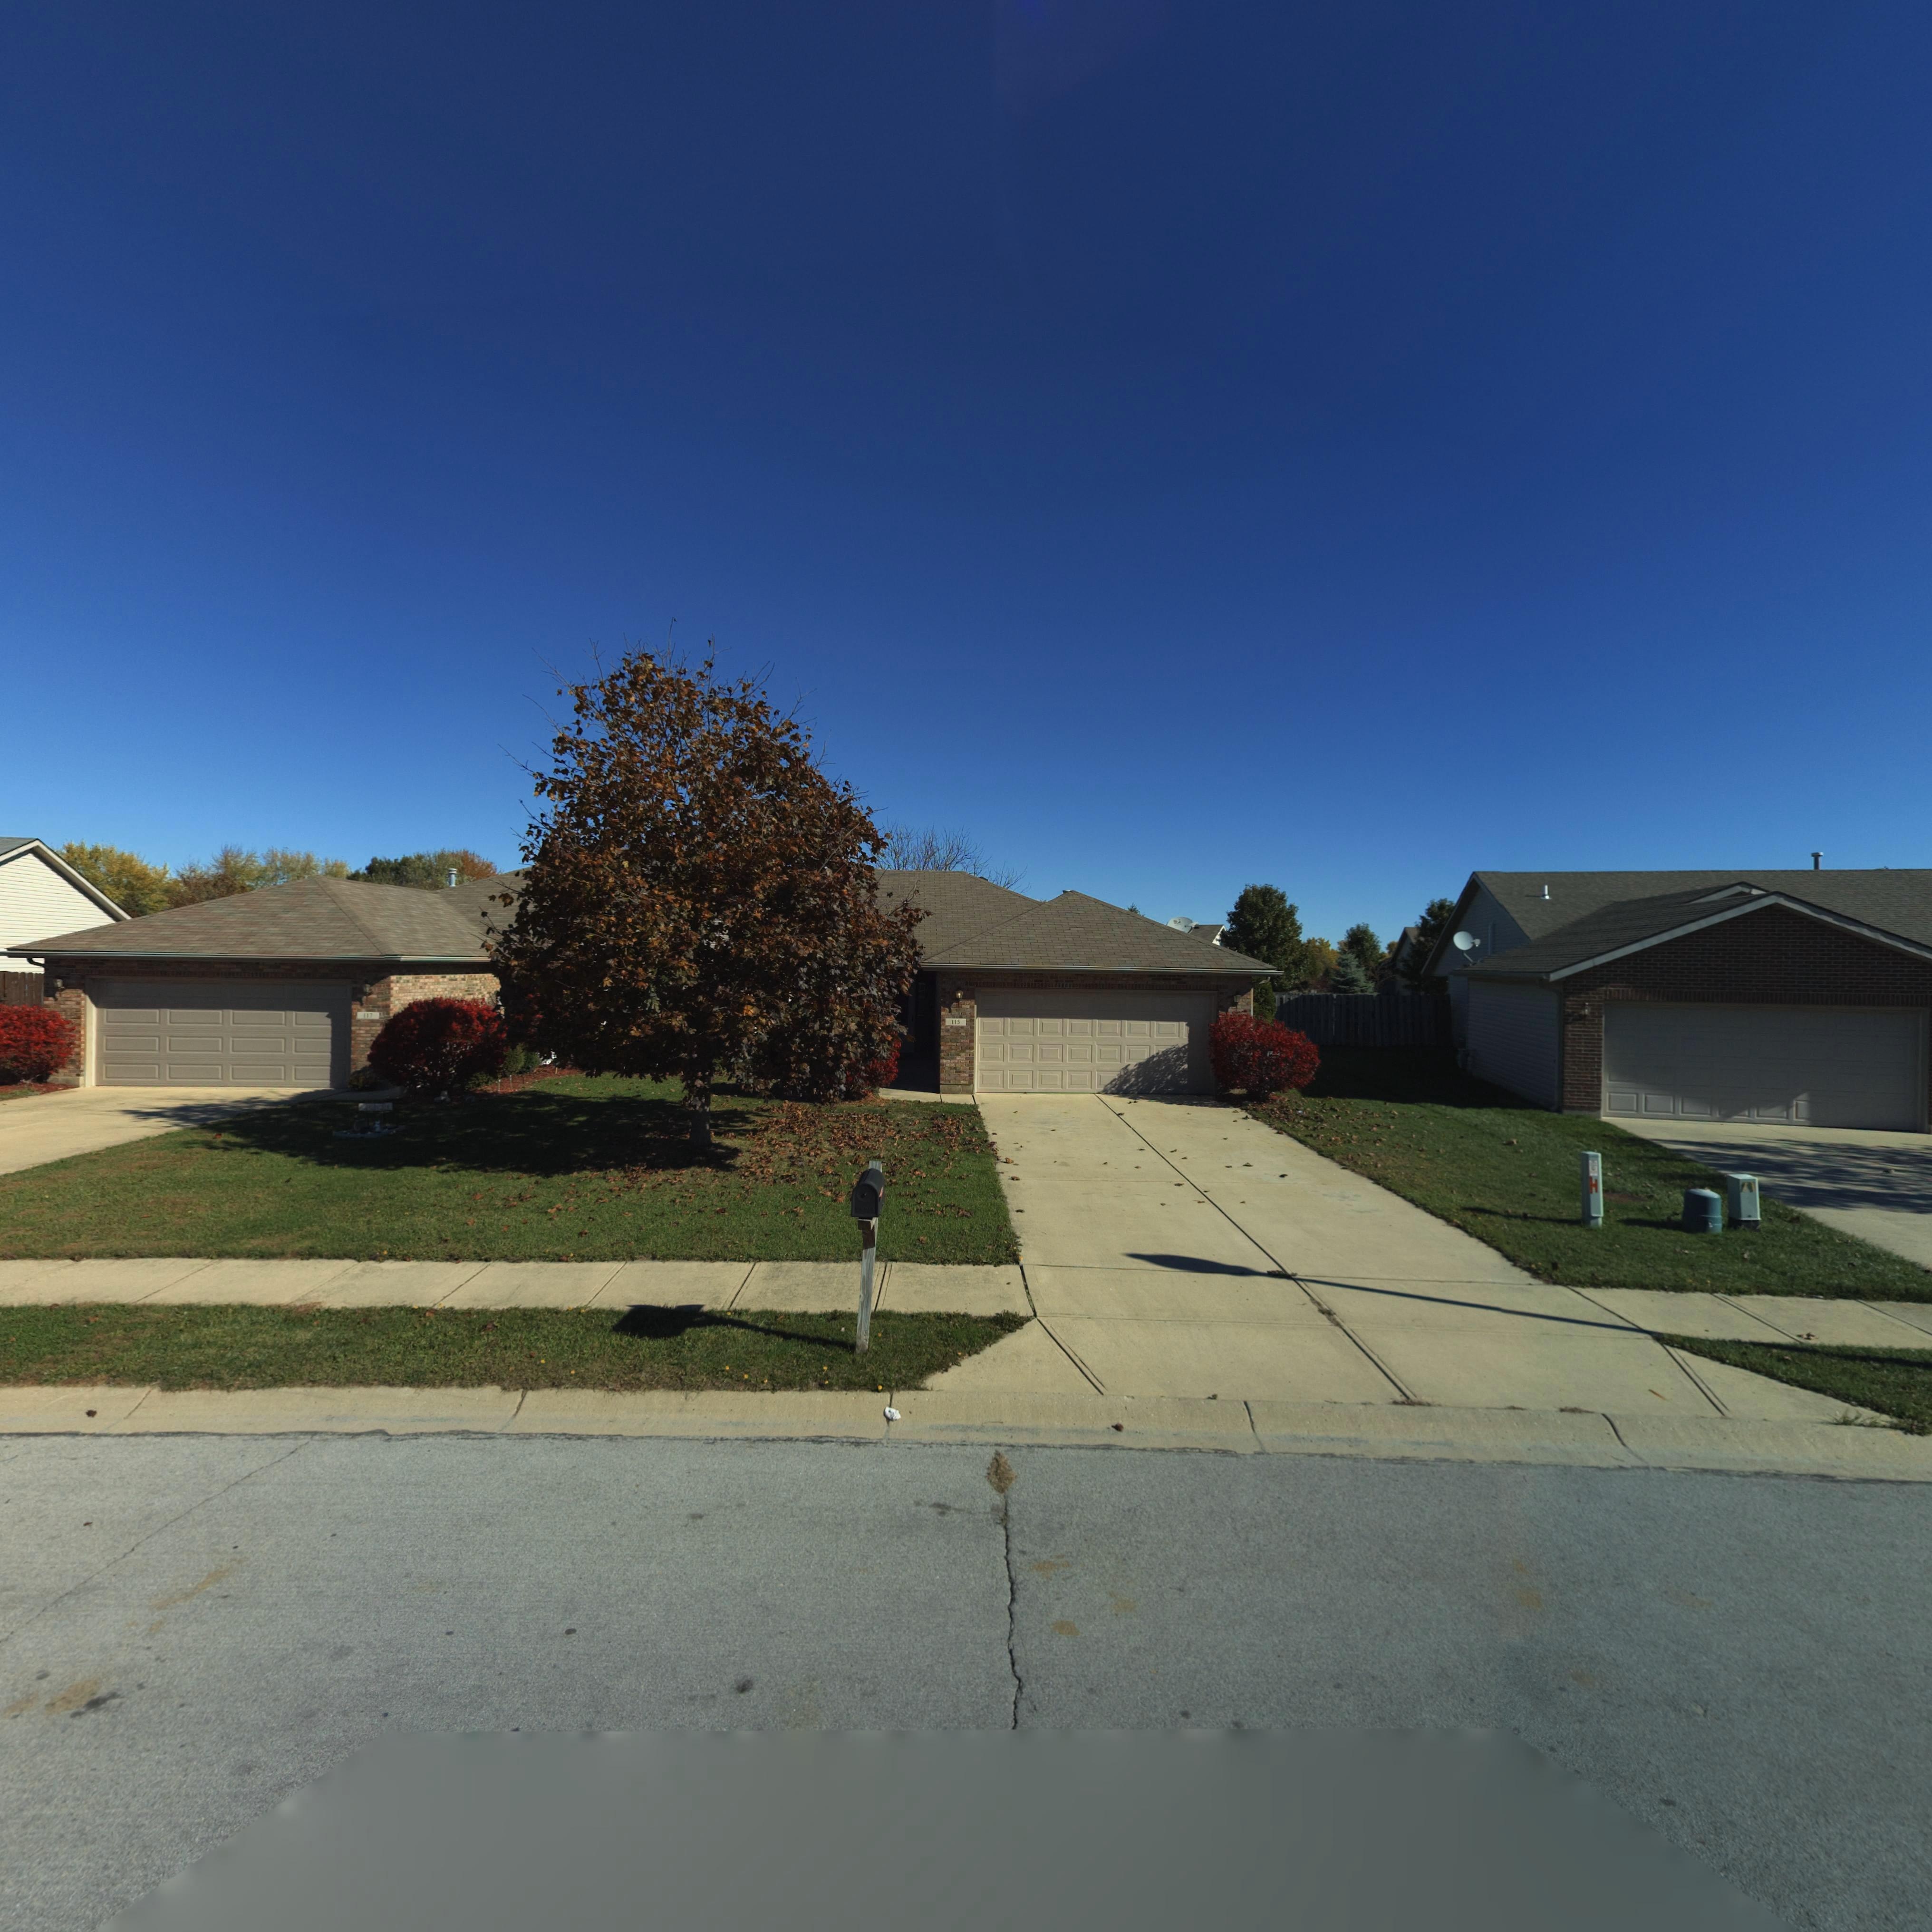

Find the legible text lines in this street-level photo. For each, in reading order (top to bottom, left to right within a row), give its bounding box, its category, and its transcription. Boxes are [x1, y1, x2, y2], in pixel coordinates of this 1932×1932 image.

[363, 1013, 373, 1018] StreetNumber: 117
[951, 1019, 960, 1024] StreetNumber: 115